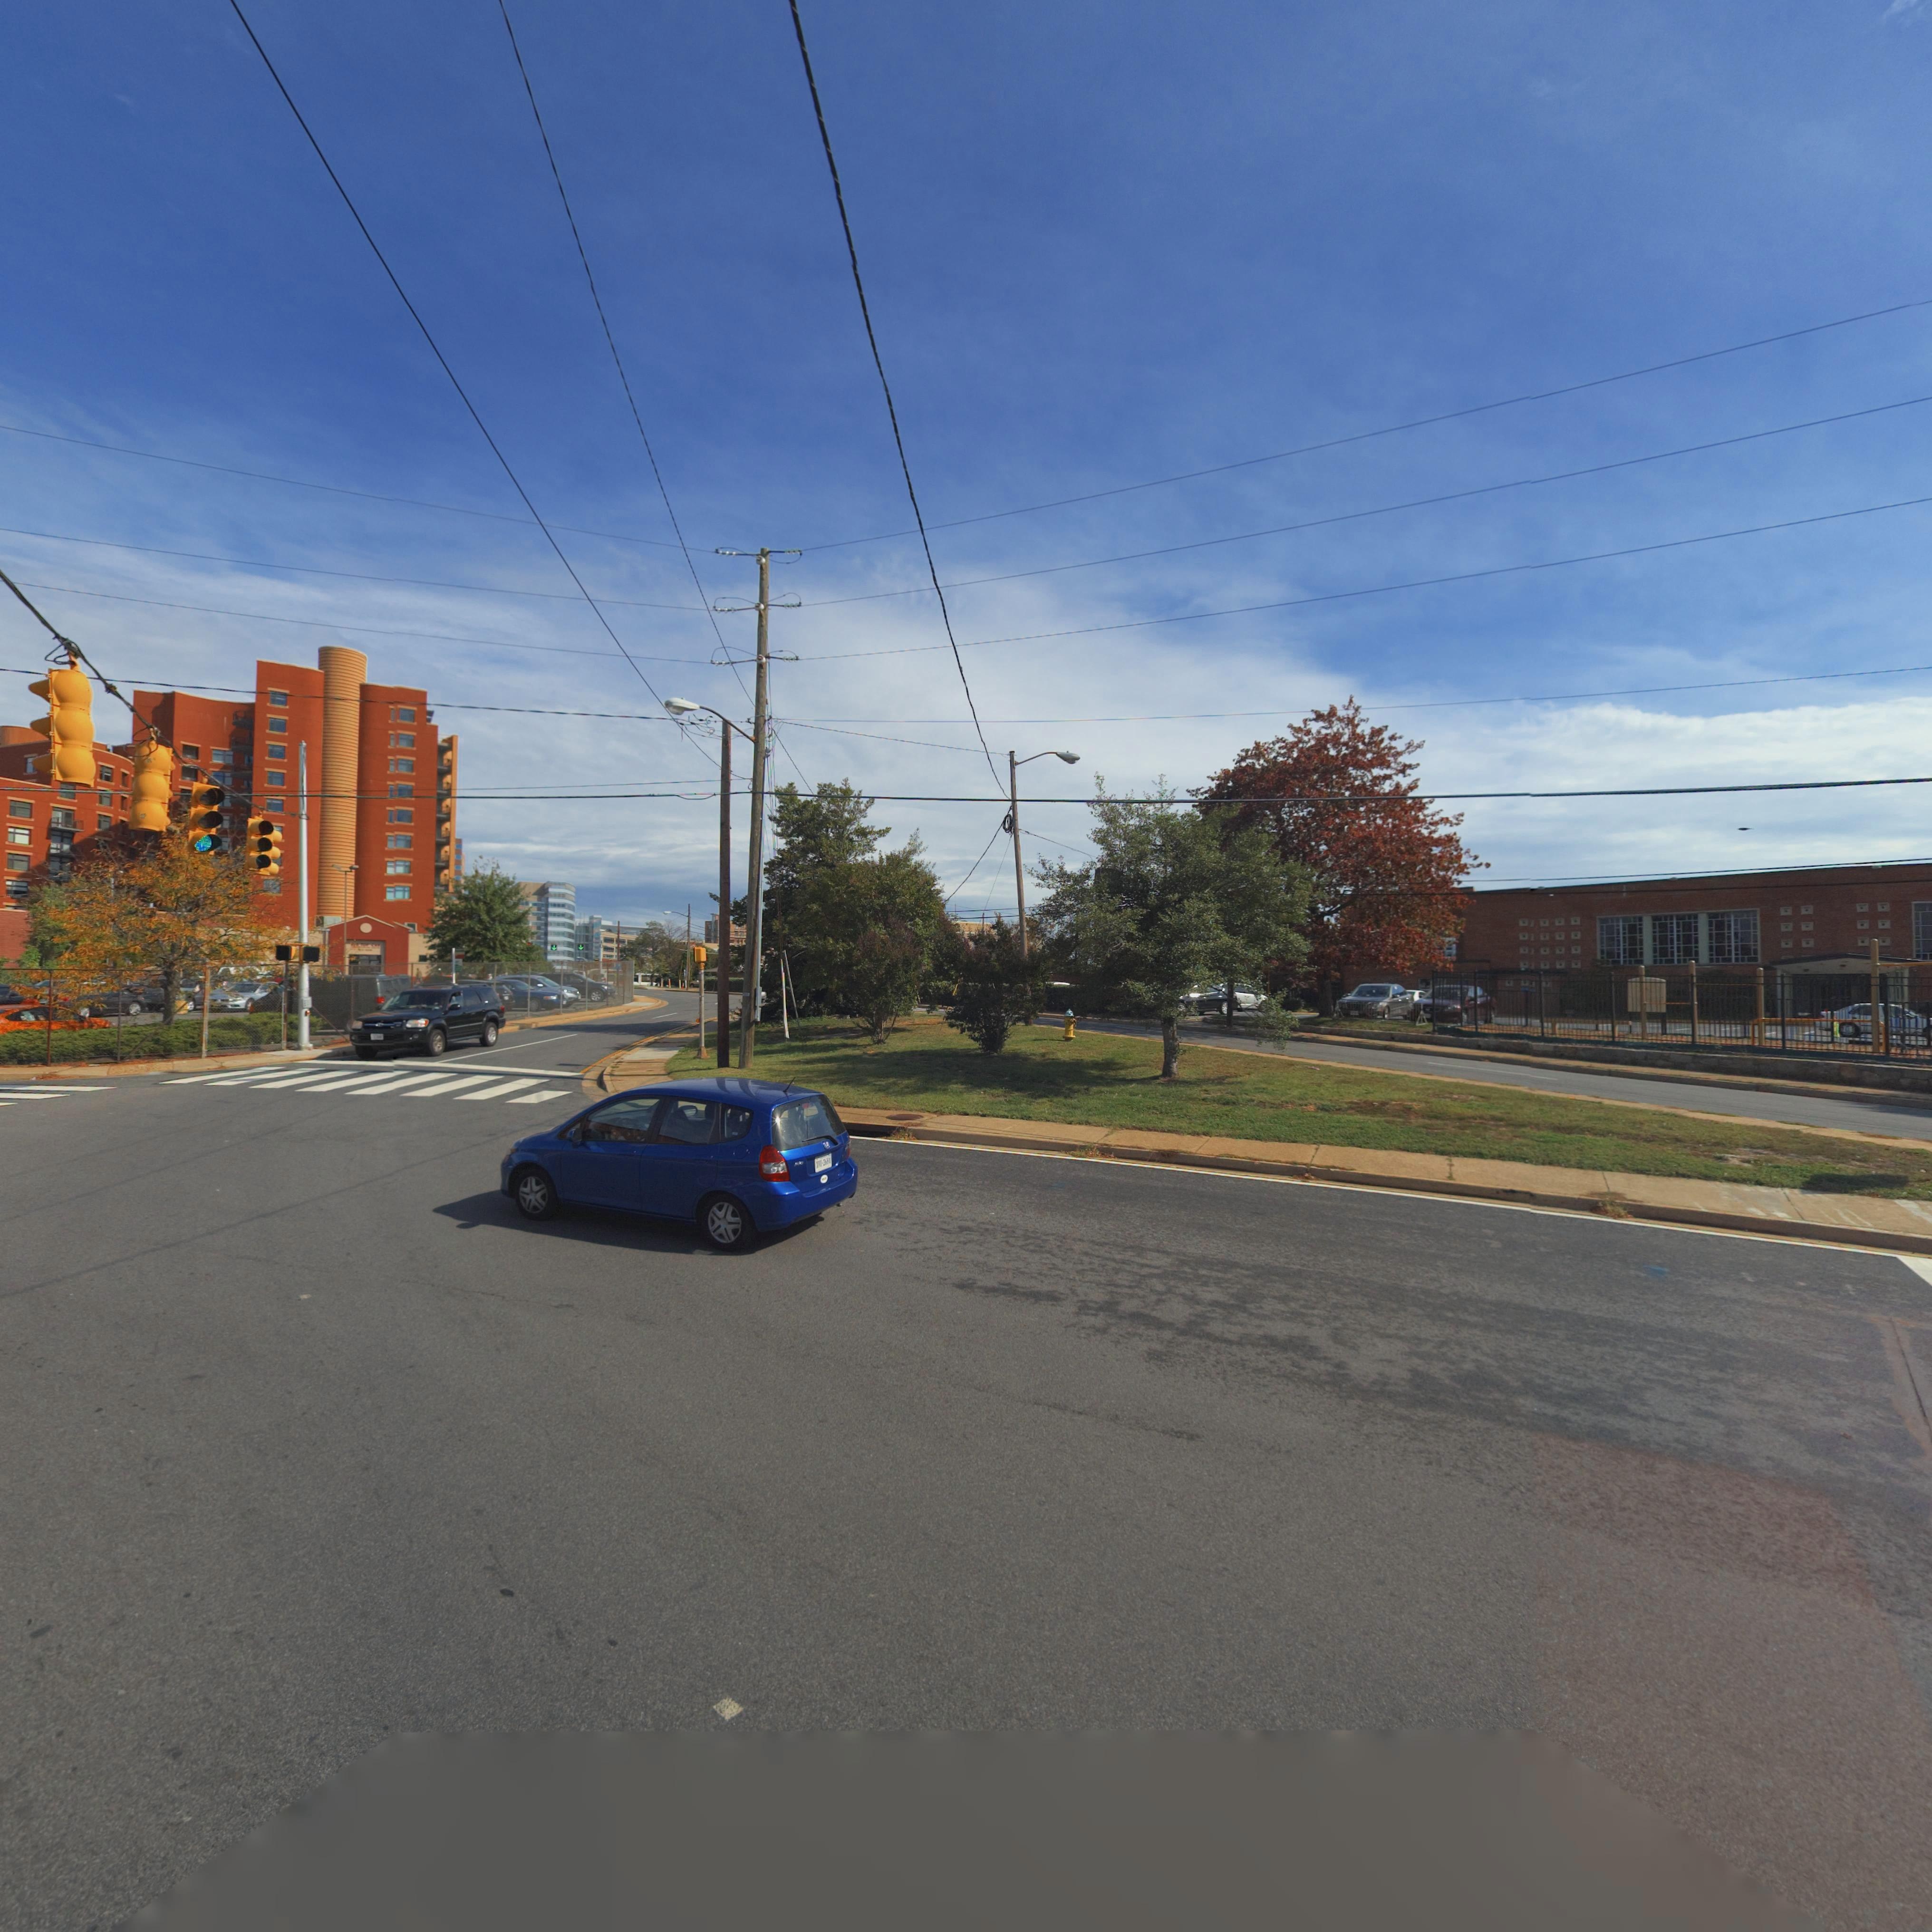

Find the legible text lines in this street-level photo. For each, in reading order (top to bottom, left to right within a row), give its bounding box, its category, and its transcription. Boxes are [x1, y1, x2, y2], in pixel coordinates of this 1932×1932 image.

[816, 1156, 831, 1169] None: X***2681